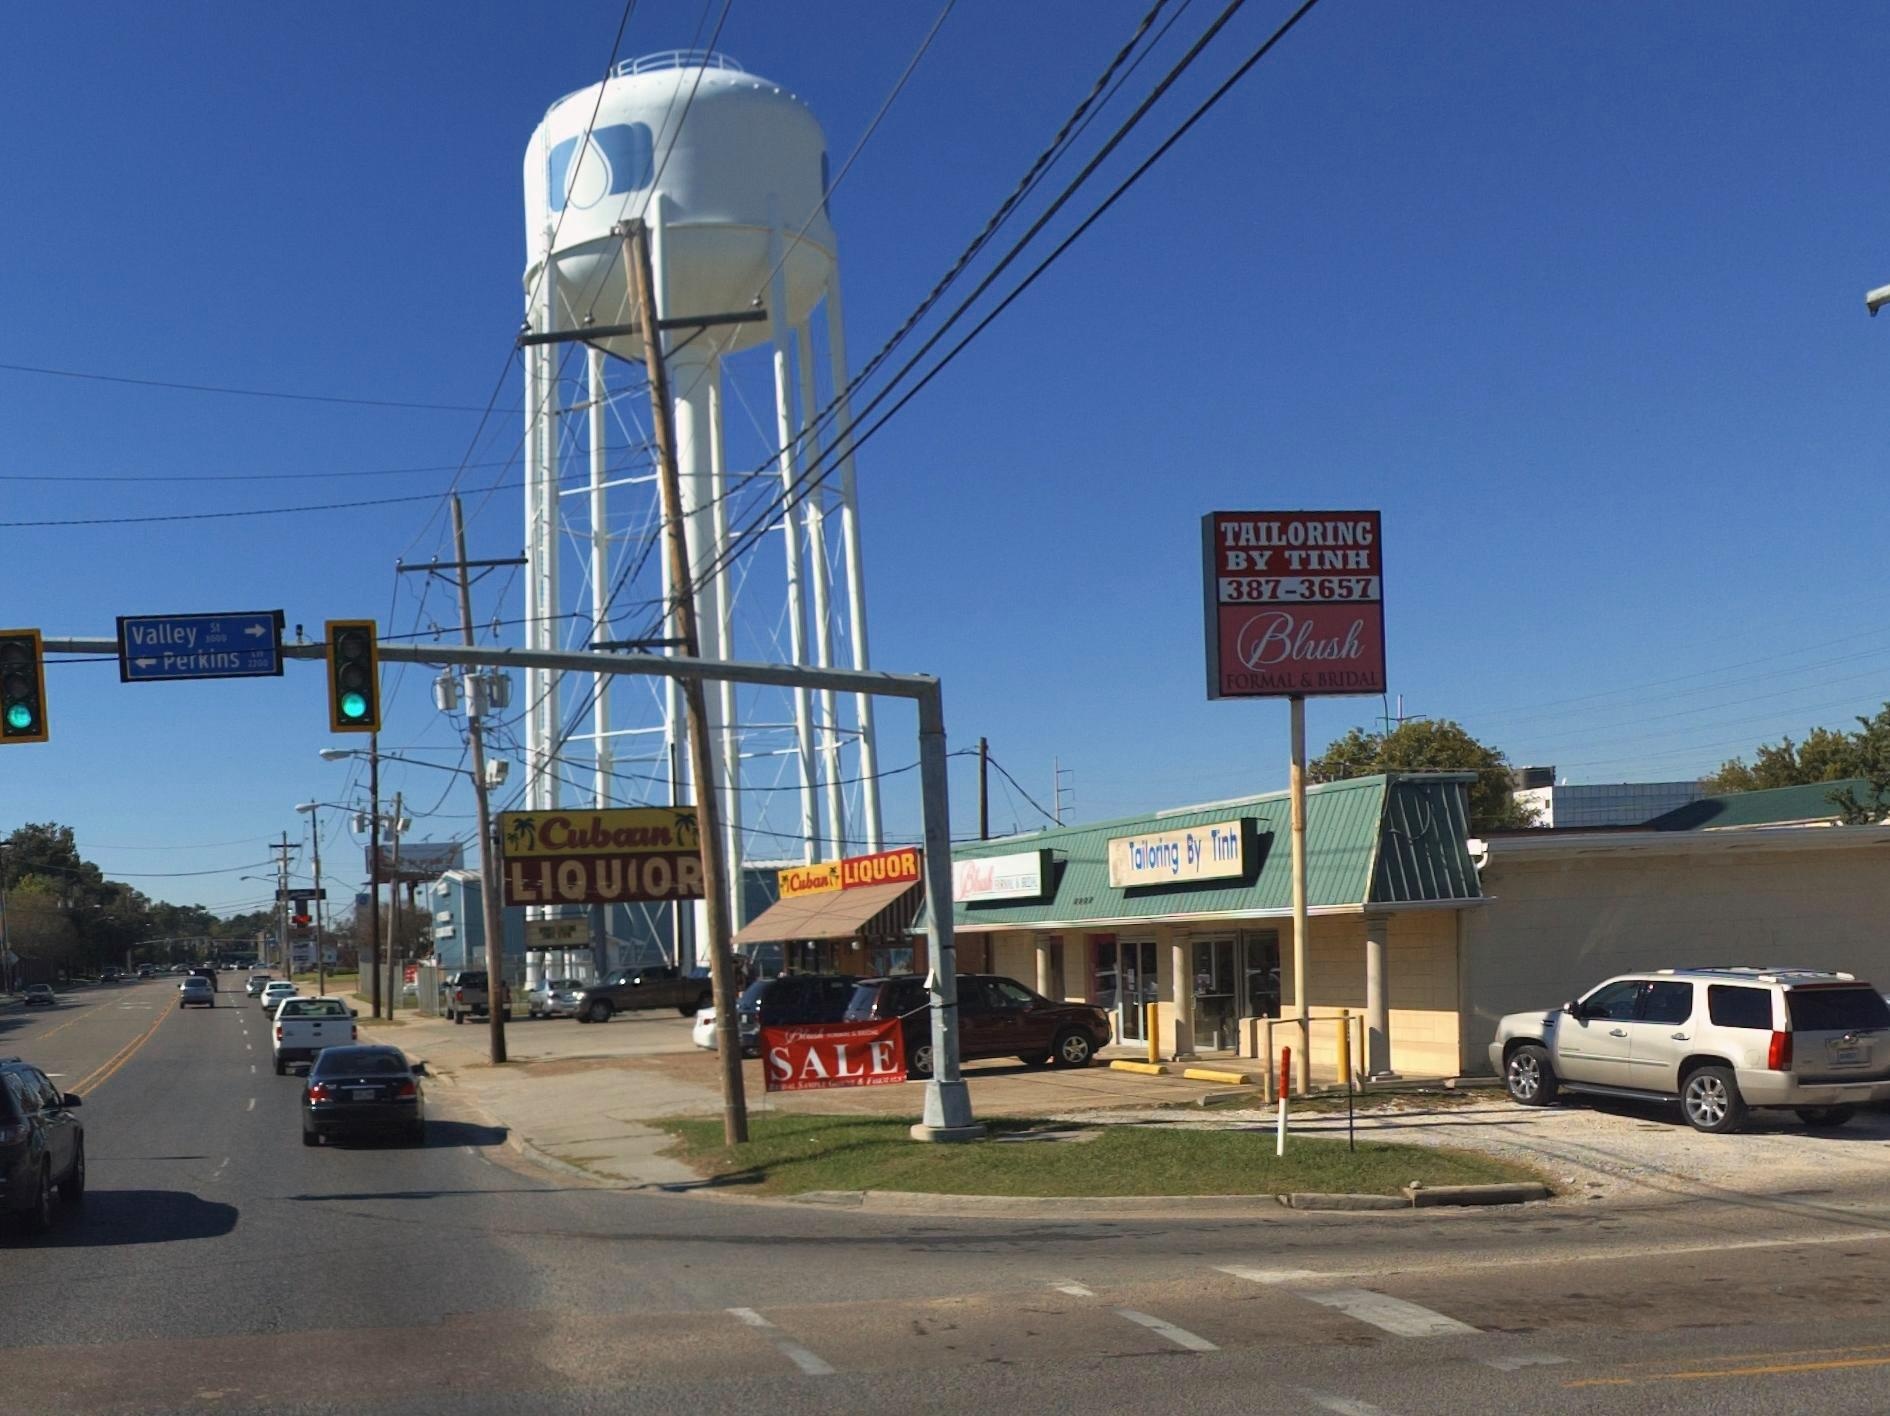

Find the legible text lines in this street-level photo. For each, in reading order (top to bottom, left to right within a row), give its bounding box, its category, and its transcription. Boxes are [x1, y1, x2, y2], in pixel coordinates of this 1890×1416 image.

[1219, 520, 1374, 548] BusinessName: TAILORING
[1224, 550, 1374, 571] BusinessName: BY TINH
[1226, 578, 1373, 601] None: 387-3657
[130, 620, 271, 649] StreetName: Valley St ->
[1234, 610, 1367, 673] BusinessName: Blush
[133, 645, 266, 671] StreetName: <- Perkins **
[247, 658, 271, 670] StreetNumberRange: 2***
[1225, 670, 1381, 690] None: FORMAL & BRIDAL
[537, 815, 674, 852] BusinessName: Cub*n
[1127, 824, 1238, 876] BusinessName: Tailoring By Tinh
[510, 855, 704, 902] BusinessName: LIQU*OR
[788, 852, 917, 894] BusinessName: Cuban LIQUOR
[958, 860, 996, 894] BusinessName: Blush
[780, 1022, 830, 1045] BusinessName: Blush
[766, 1038, 899, 1084] None: SALE